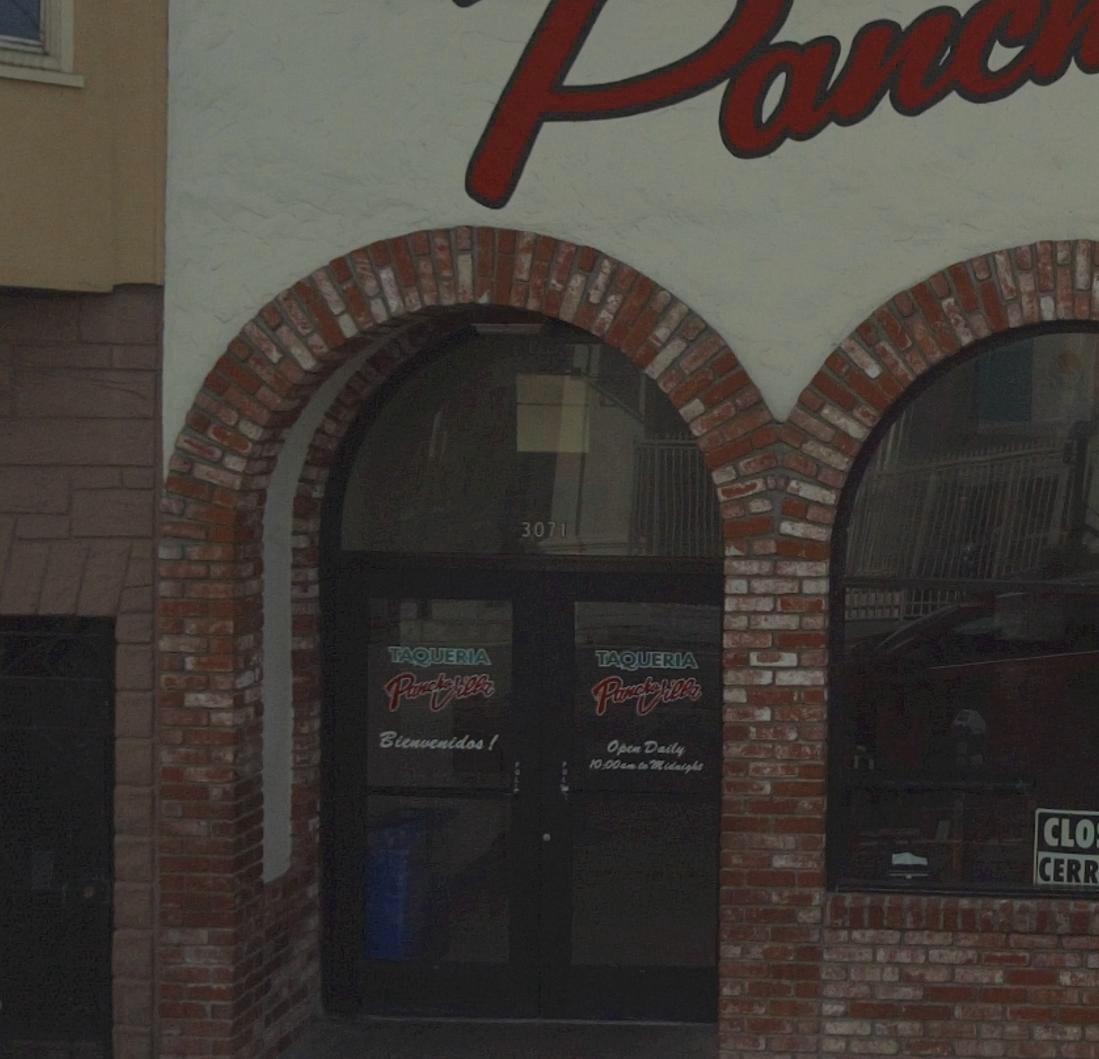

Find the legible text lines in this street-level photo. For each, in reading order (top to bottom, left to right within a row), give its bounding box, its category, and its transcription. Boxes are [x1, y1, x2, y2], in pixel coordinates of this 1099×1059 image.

[714, 0, 966, 167] None: an
[520, 520, 567, 539] StreetNumber: 3071
[385, 645, 491, 666] None: TAQUERIA
[593, 648, 698, 671] None: TAQUERIA
[383, 671, 430, 713] None: Pan
[454, 672, 497, 700] None: illa
[588, 675, 636, 717] None: Pan
[660, 676, 704, 704] None: illa
[379, 730, 483, 749] None: Bienvenidos
[606, 738, 685, 757] None: Open Daily
[588, 757, 702, 774] None: 10:00am to Midnight
[1042, 816, 1096, 850] None: CLO
[1038, 855, 1098, 885] None: CERR